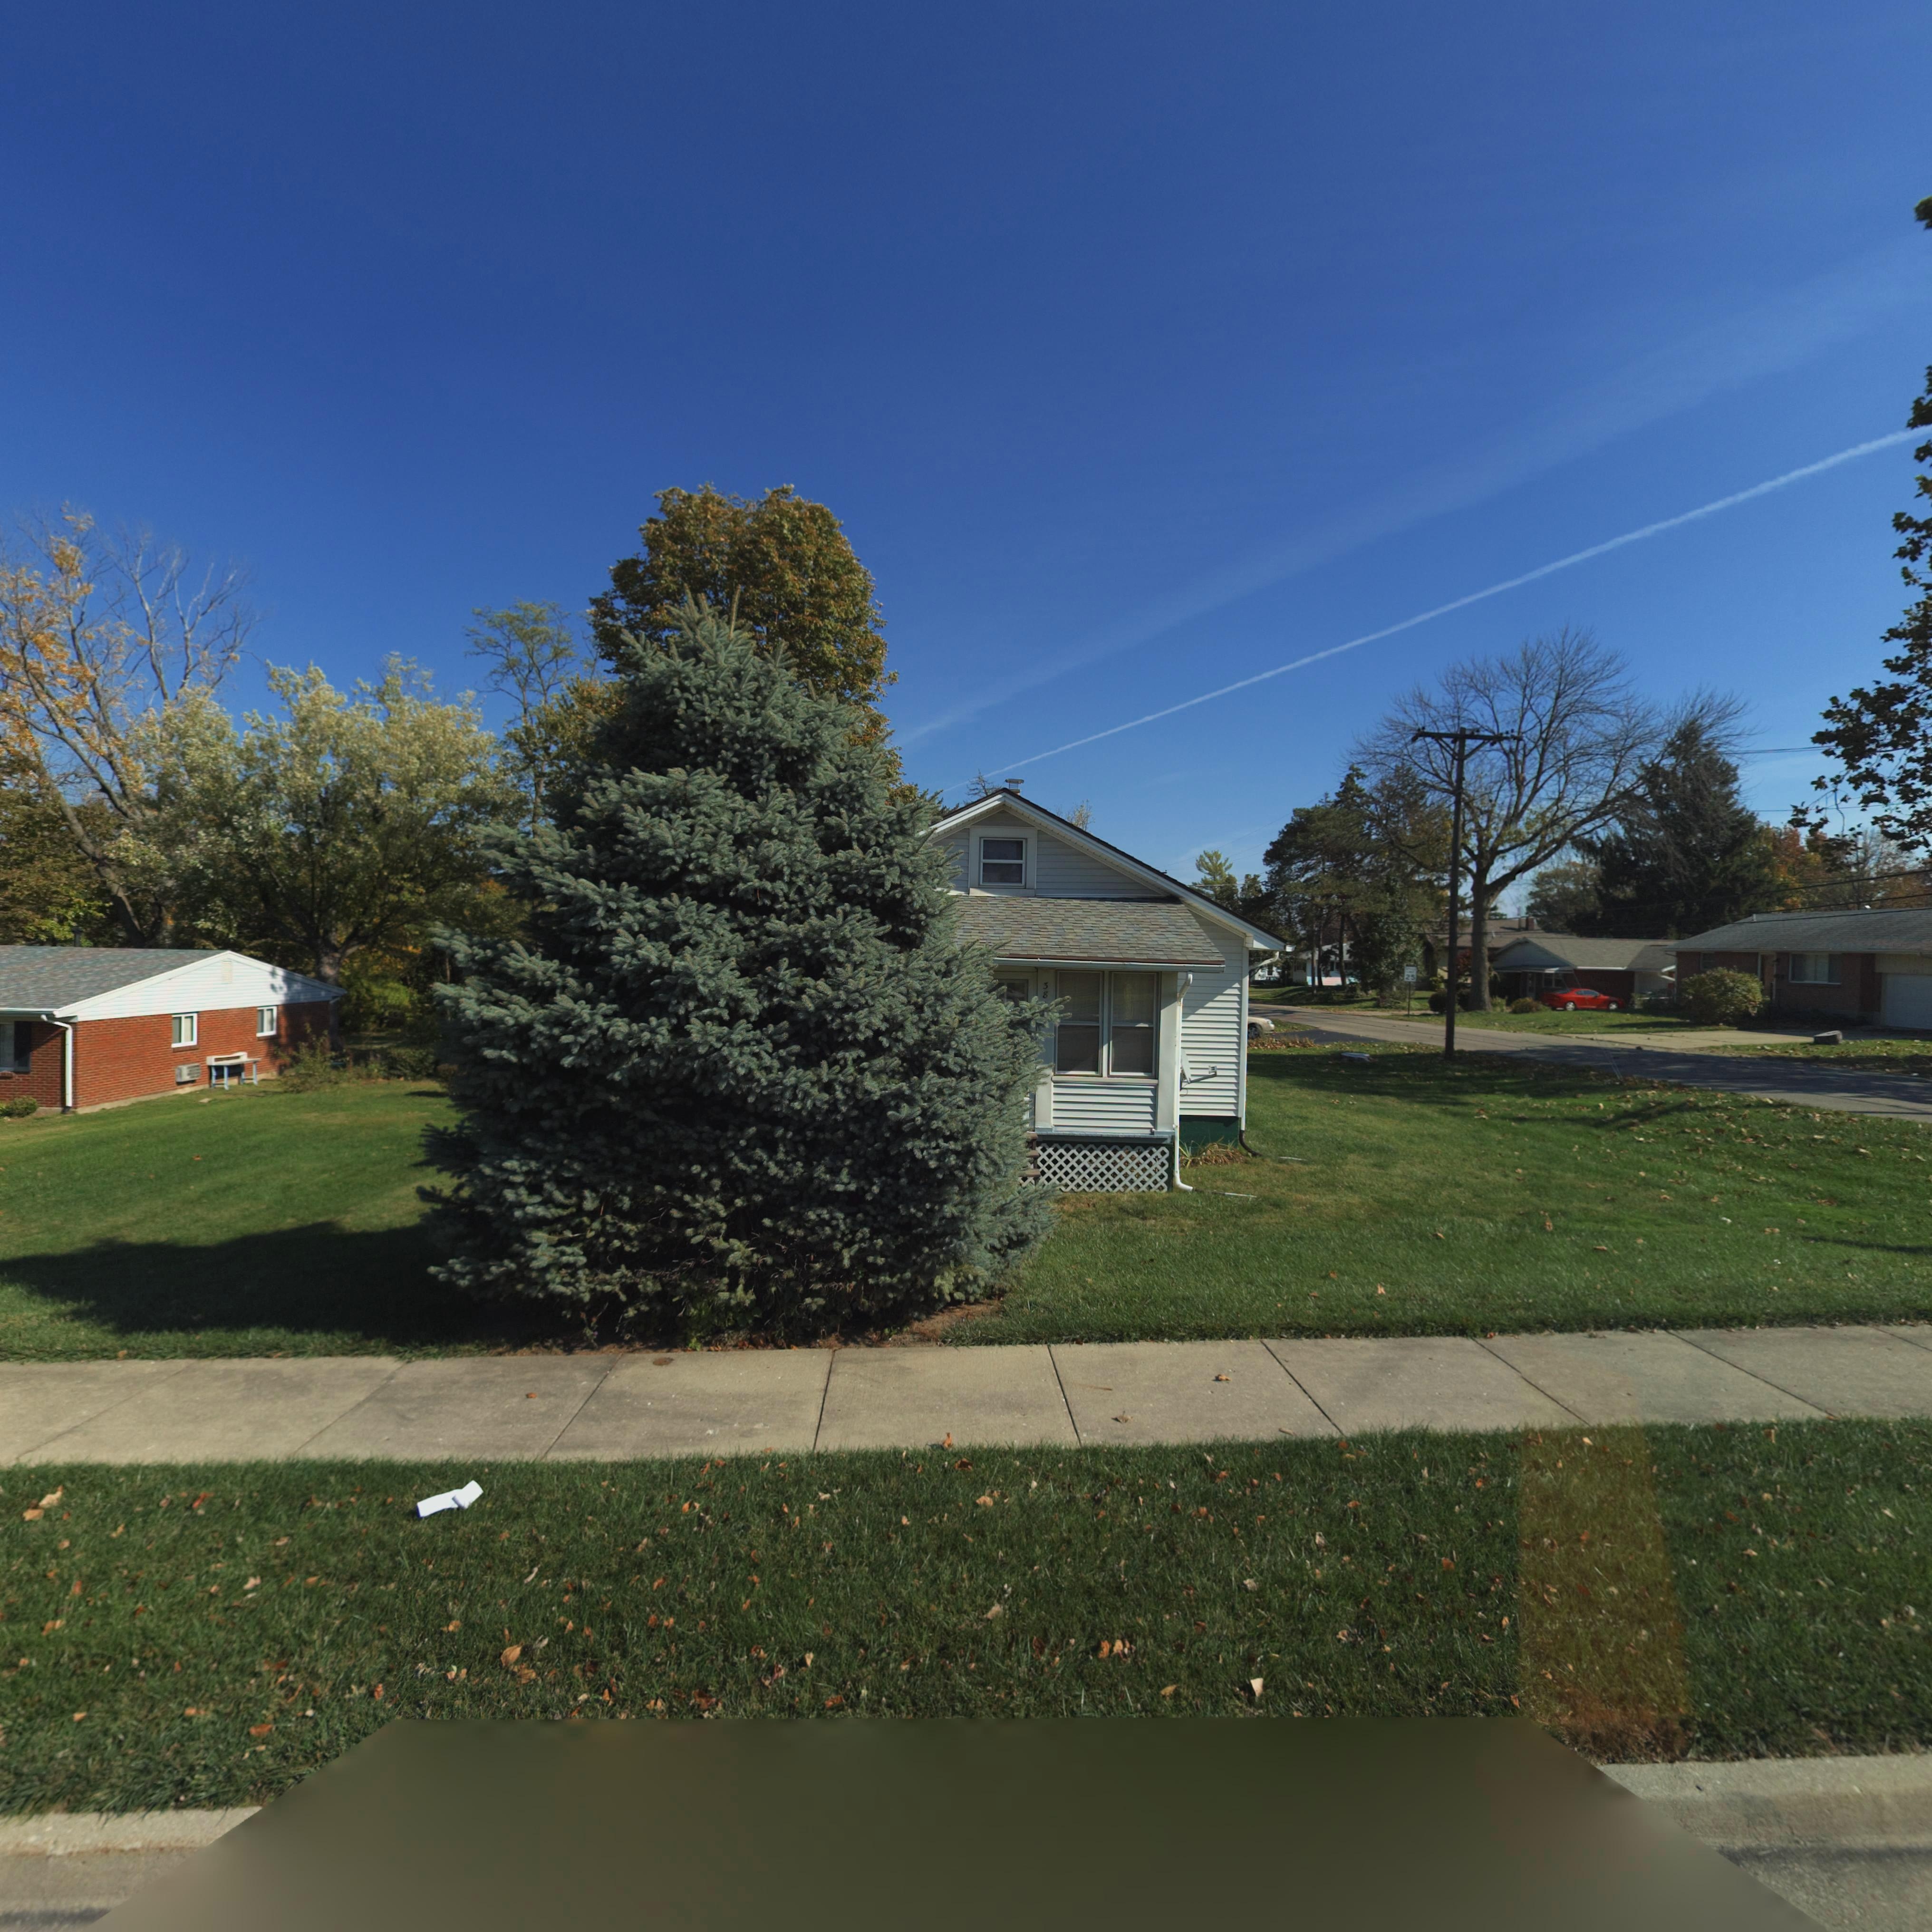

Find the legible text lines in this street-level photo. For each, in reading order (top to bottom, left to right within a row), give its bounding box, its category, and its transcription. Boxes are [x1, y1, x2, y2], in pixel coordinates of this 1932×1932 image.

[1405, 967, 1416, 970] None: SPEED
[1407, 970, 1415, 973] None: LIMIT
[1405, 974, 1416, 980] None: 25
[1042, 981, 1049, 999] StreetNumber: 38